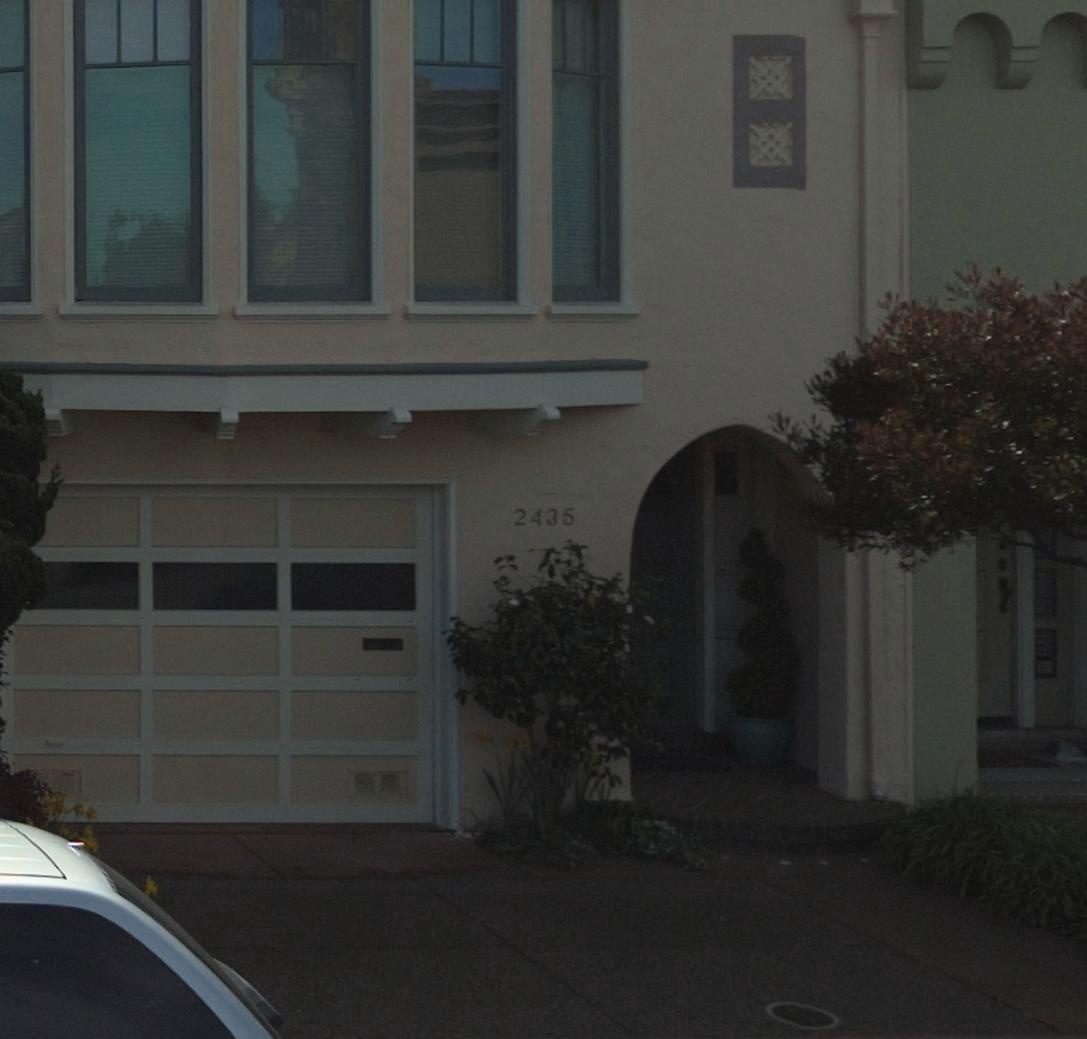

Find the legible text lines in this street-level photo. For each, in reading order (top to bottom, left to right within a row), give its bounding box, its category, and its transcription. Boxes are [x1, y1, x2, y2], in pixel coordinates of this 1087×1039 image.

[510, 504, 578, 529] StreetNumber: 2435